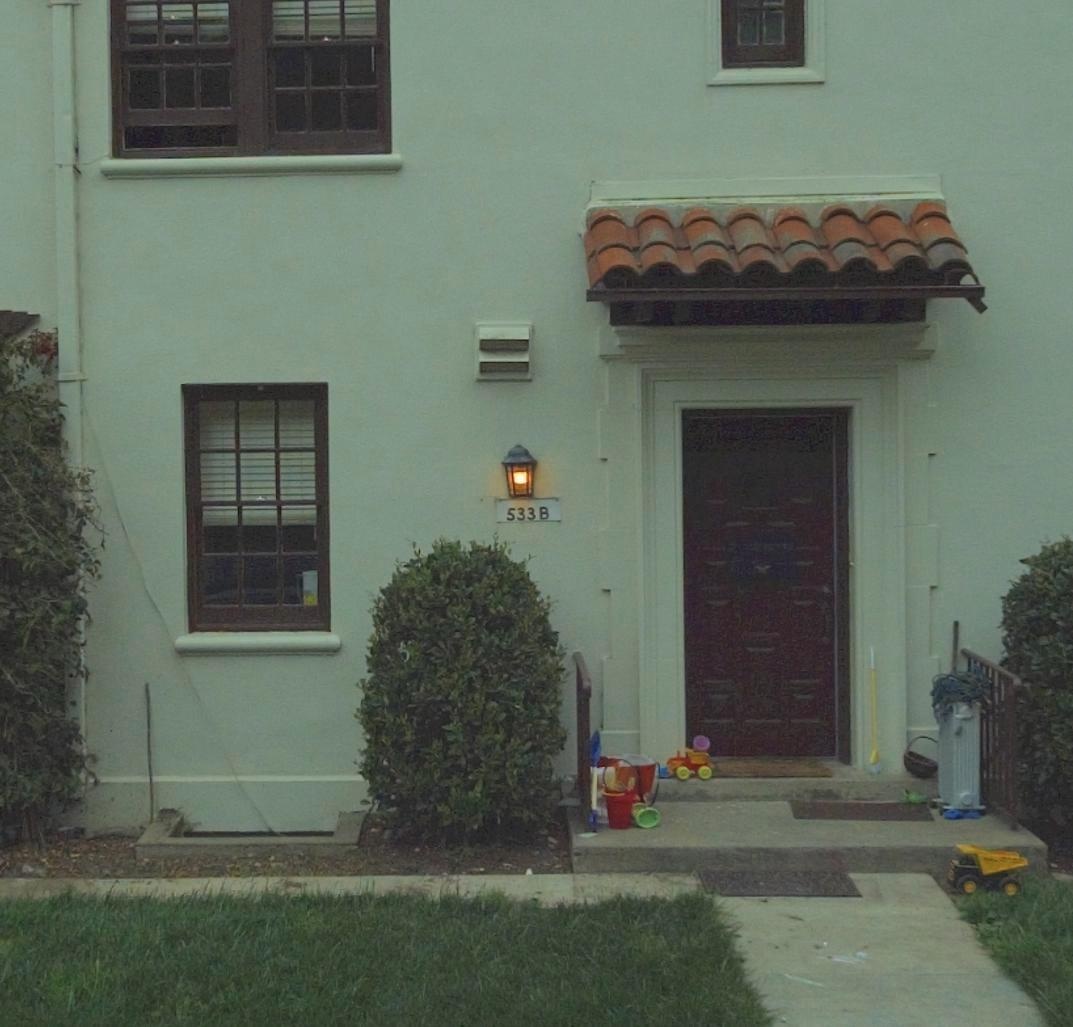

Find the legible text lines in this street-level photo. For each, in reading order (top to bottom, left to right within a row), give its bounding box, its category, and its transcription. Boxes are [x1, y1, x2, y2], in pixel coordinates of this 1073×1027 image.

[506, 505, 550, 522] StreetNumber: 533 B